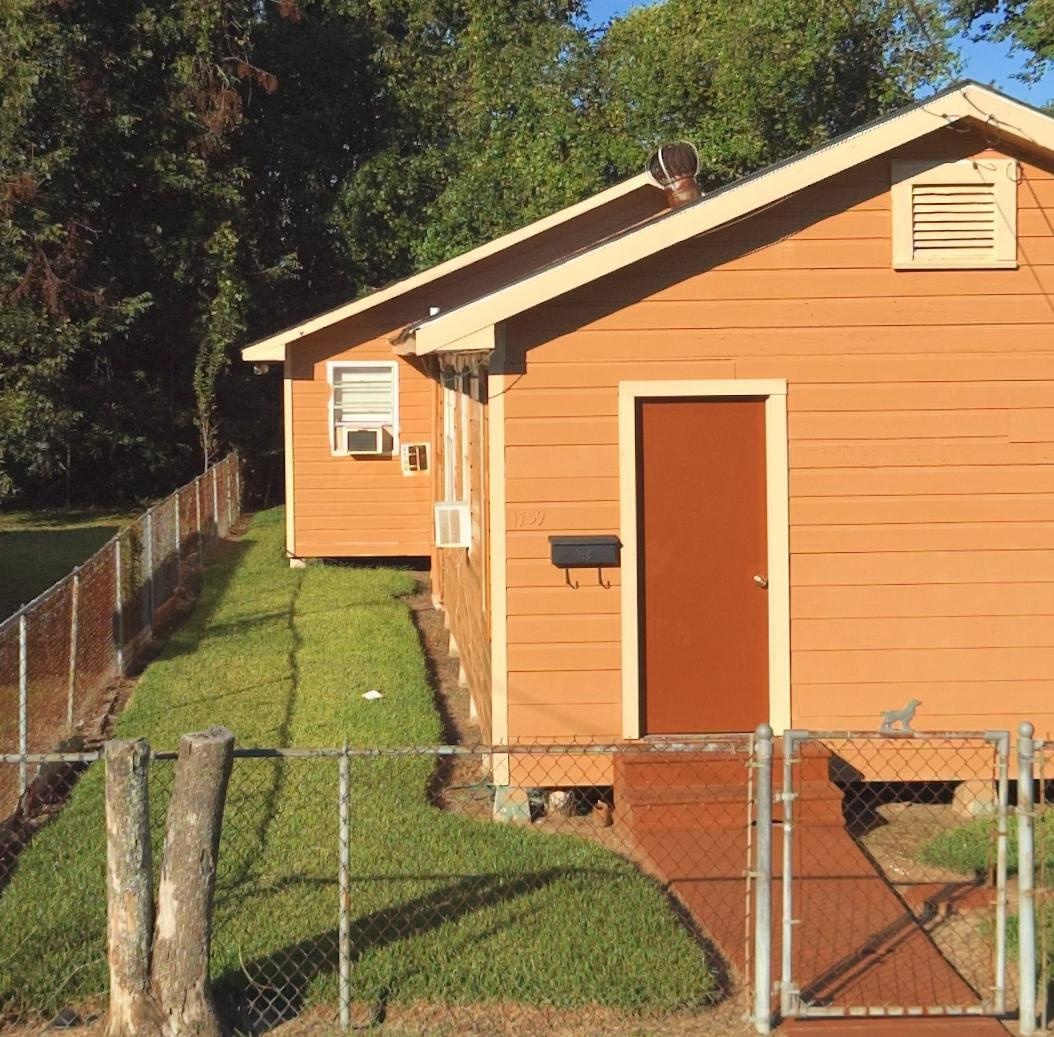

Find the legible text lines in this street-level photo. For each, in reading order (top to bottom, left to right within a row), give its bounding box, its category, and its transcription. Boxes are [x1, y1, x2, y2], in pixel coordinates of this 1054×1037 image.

[511, 508, 547, 529] StreetNumber: 1739